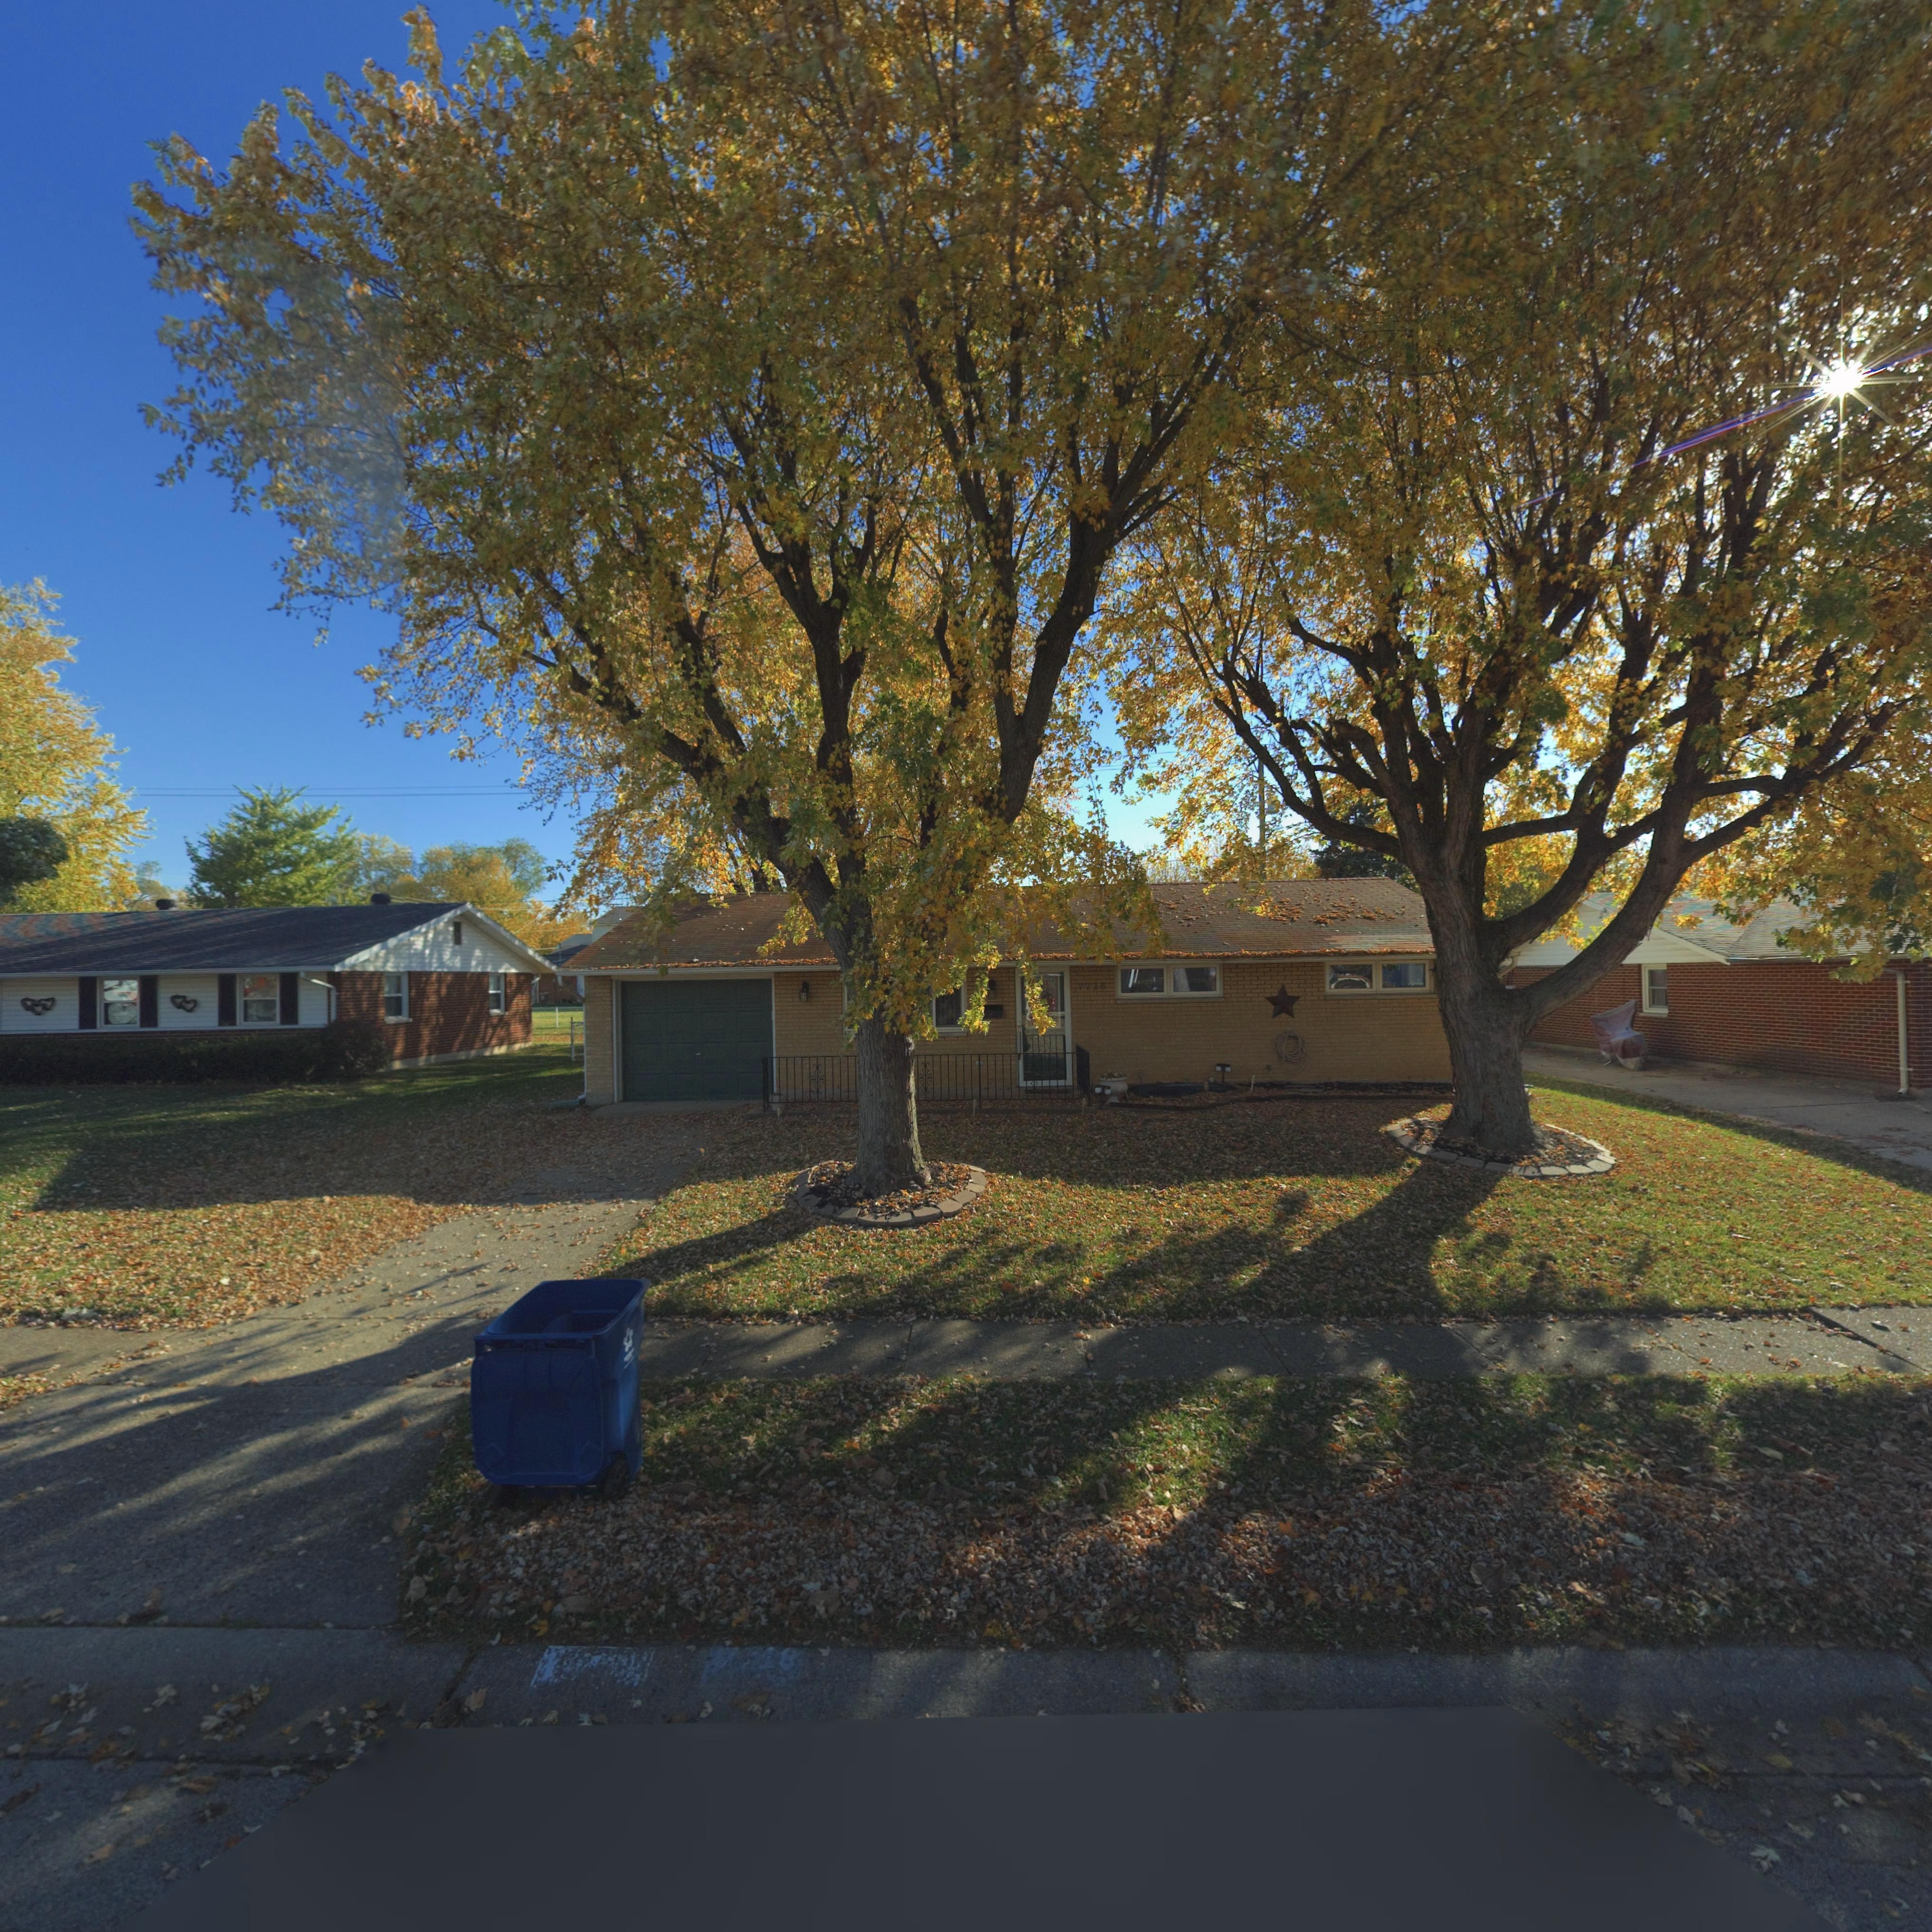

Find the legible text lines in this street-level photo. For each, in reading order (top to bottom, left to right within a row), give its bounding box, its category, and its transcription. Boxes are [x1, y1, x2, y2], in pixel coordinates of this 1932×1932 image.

[1077, 980, 1107, 992] StreetNumber: 7718